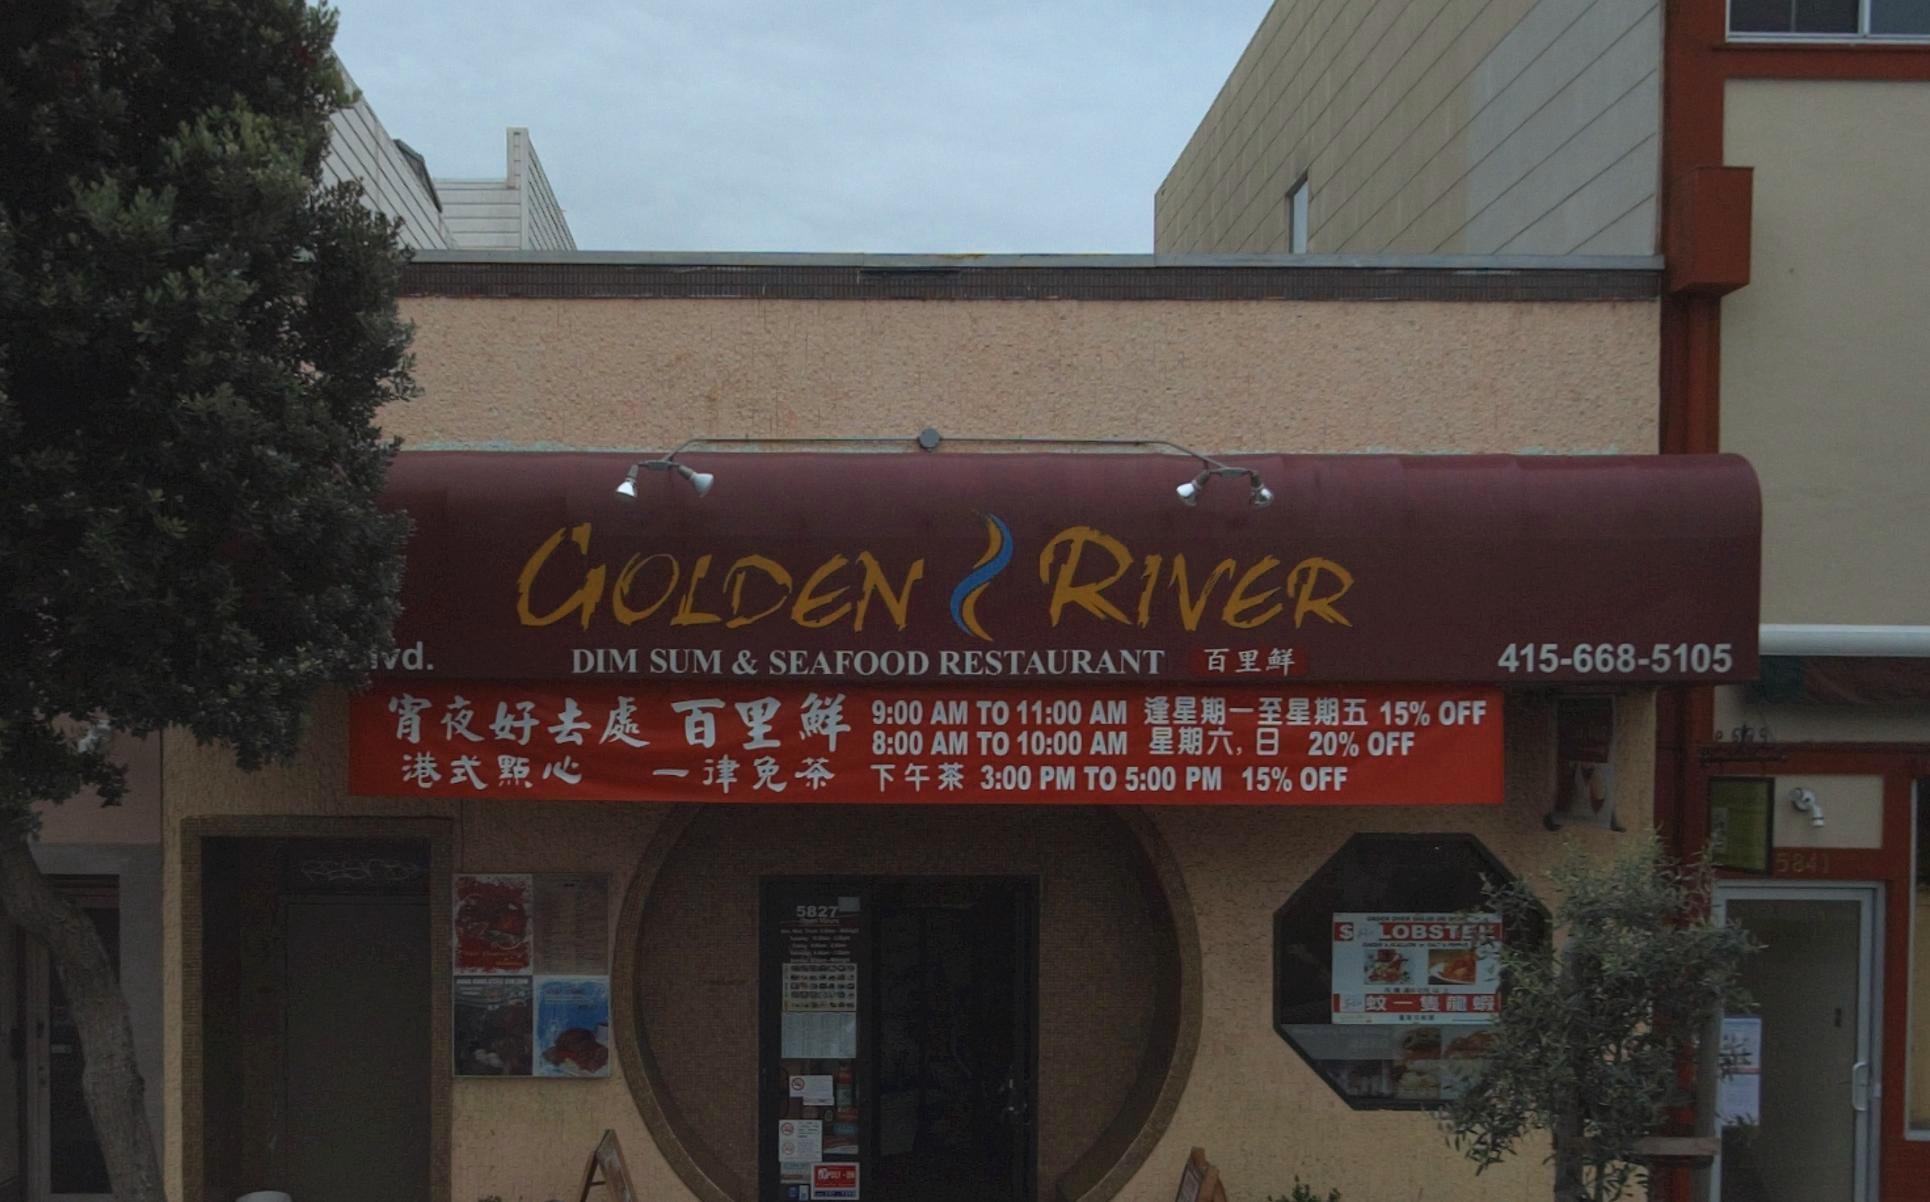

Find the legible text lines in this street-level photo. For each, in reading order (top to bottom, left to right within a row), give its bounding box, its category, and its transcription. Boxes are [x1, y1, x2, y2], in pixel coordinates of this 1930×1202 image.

[501, 515, 1363, 638] BusinessName: GOLDEN * RIVER
[398, 638, 437, 674] StreetName: d.
[567, 645, 1169, 678] BusinessName: DIM SUM & SEAFOOD RESTAURANT
[1493, 640, 1735, 677] None: 415-668-5105
[867, 696, 1130, 727] None: 9:00 AM TO 11:00 AM
[1376, 697, 1489, 728] None: 15% OFF
[869, 728, 1130, 758] None: 8:00 AM TO 10:00 AM
[1305, 728, 1418, 758] None: 20% OFF
[977, 763, 1350, 794] None: 3:00 PM TO 5:00 PM 15% OFF
[1775, 849, 1832, 877] StreetNumber: 5841
[794, 903, 841, 920] StreetNumber: 5827
[1376, 920, 1499, 943] None: LOBST**